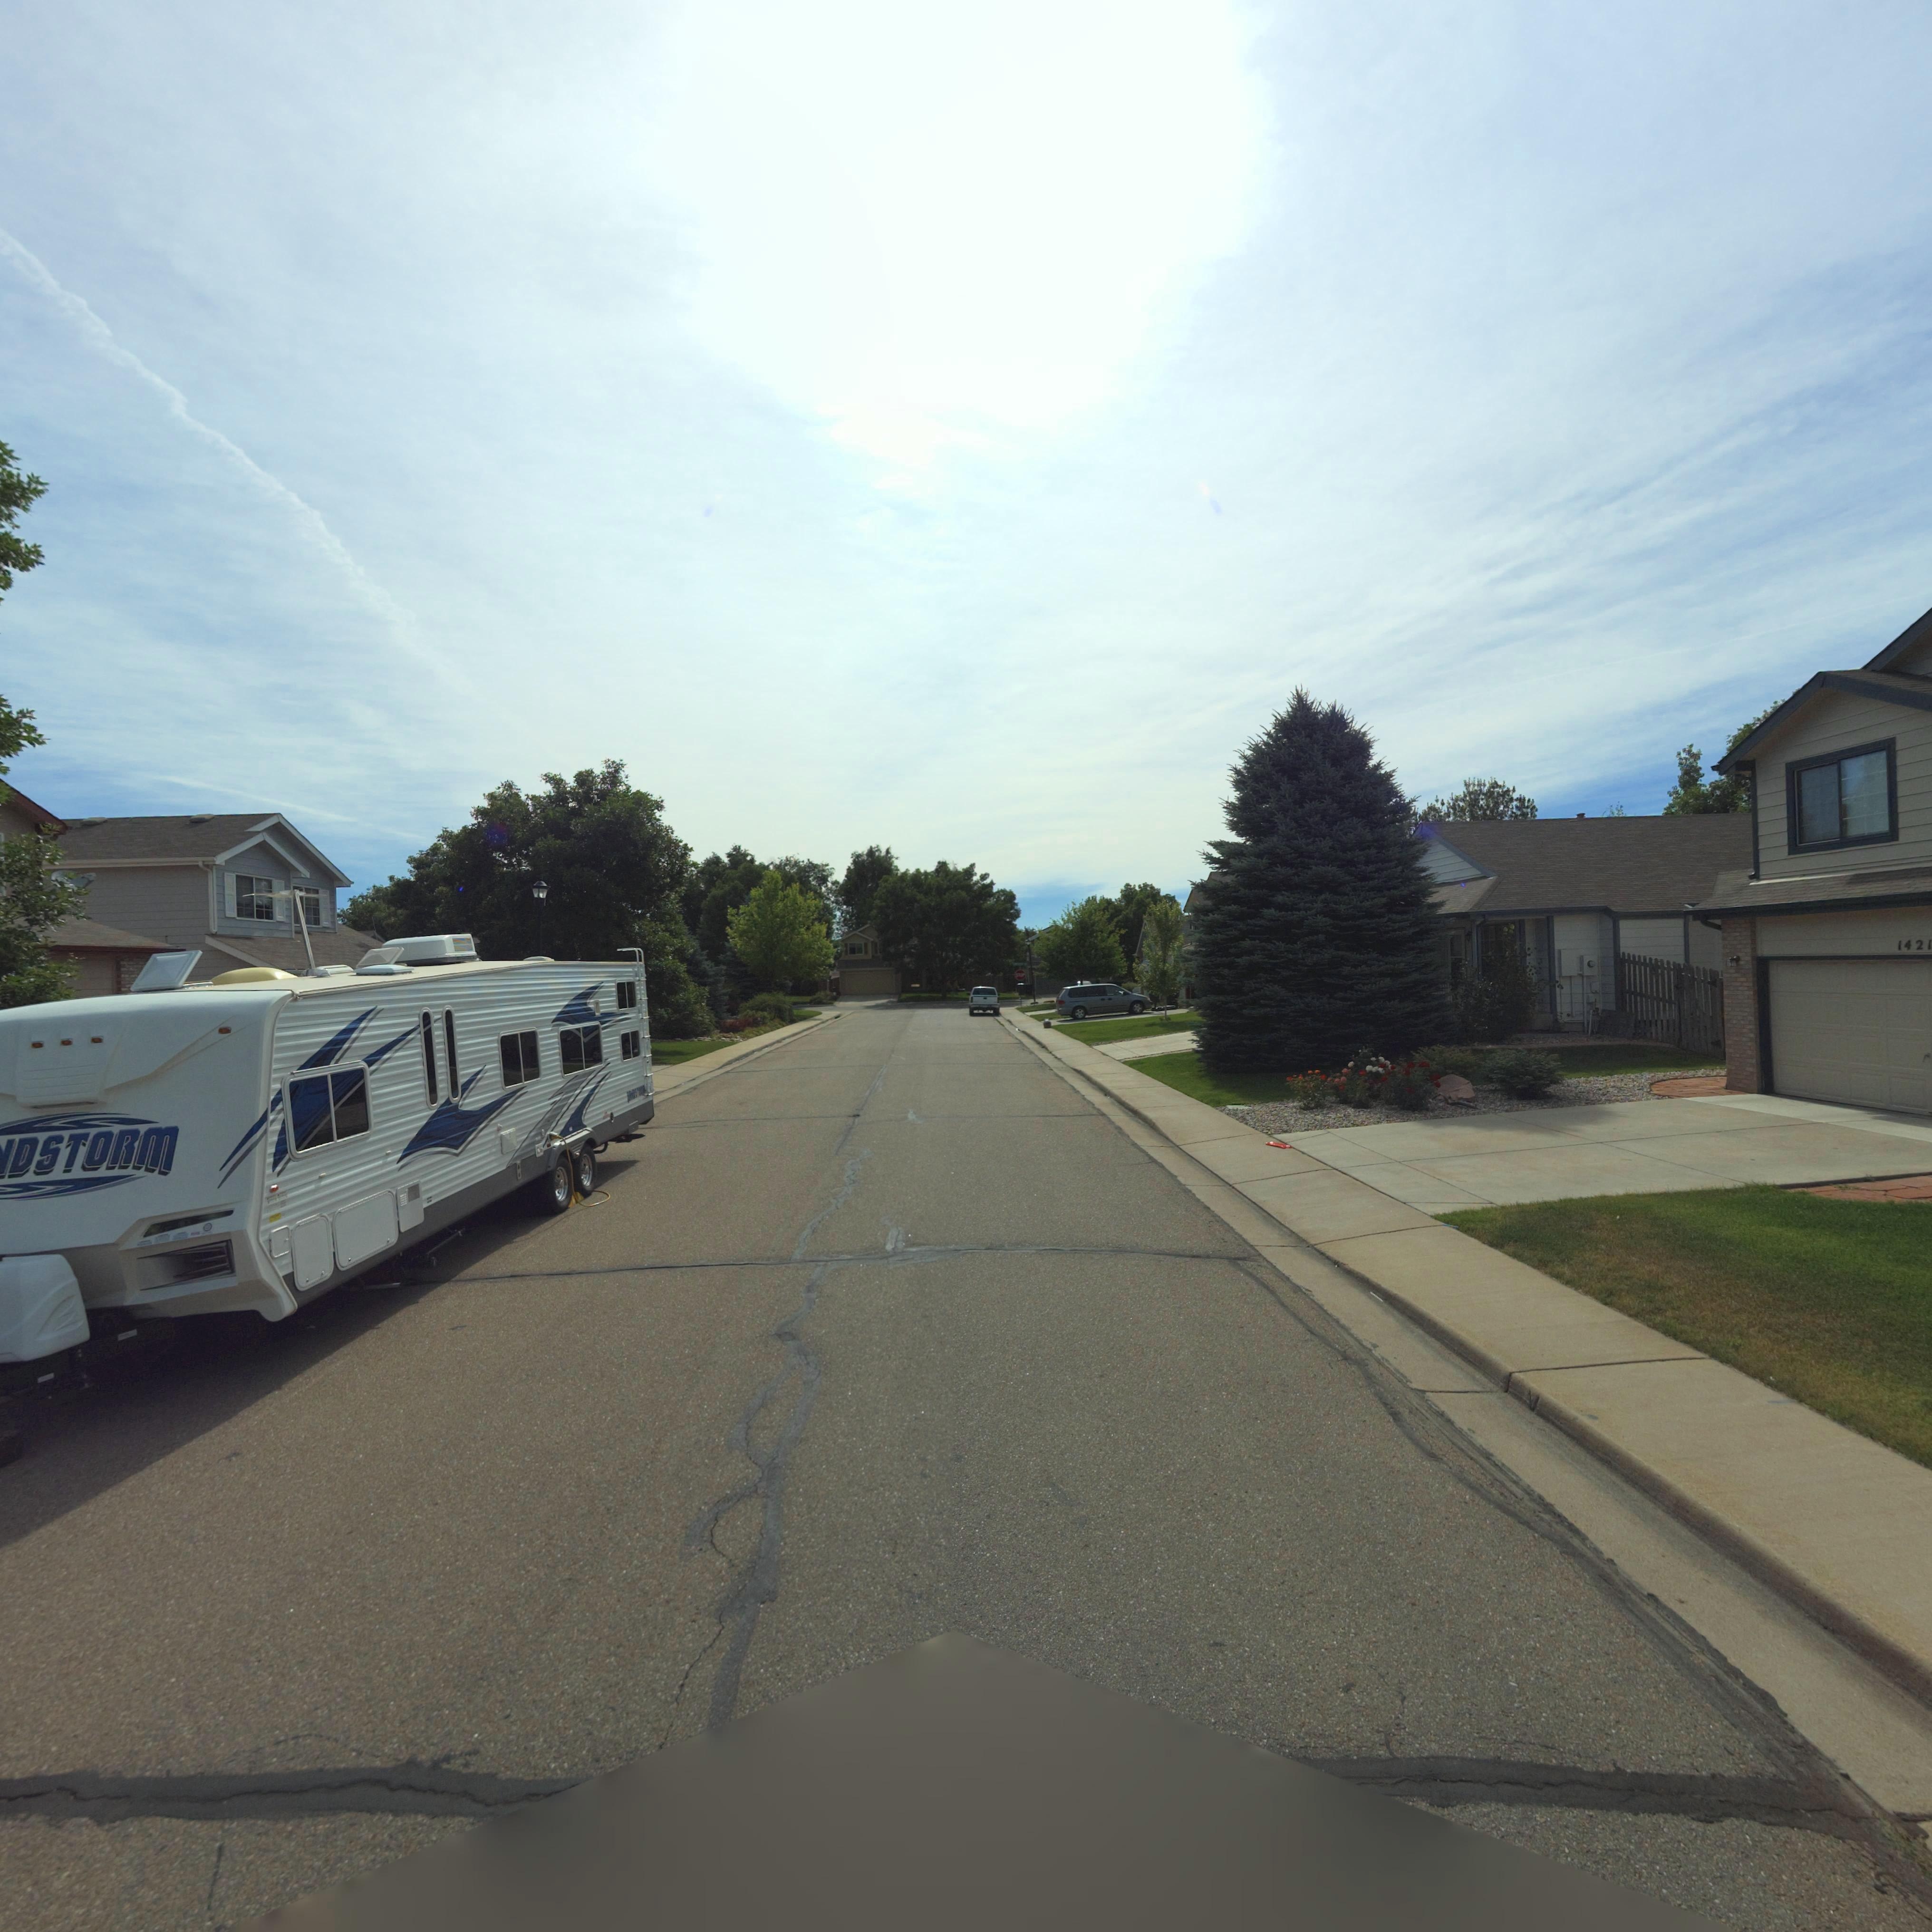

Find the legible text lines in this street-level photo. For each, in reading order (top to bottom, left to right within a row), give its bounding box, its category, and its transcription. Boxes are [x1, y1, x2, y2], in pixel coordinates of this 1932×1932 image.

[1897, 938, 1924, 951] StreetNumber: 142